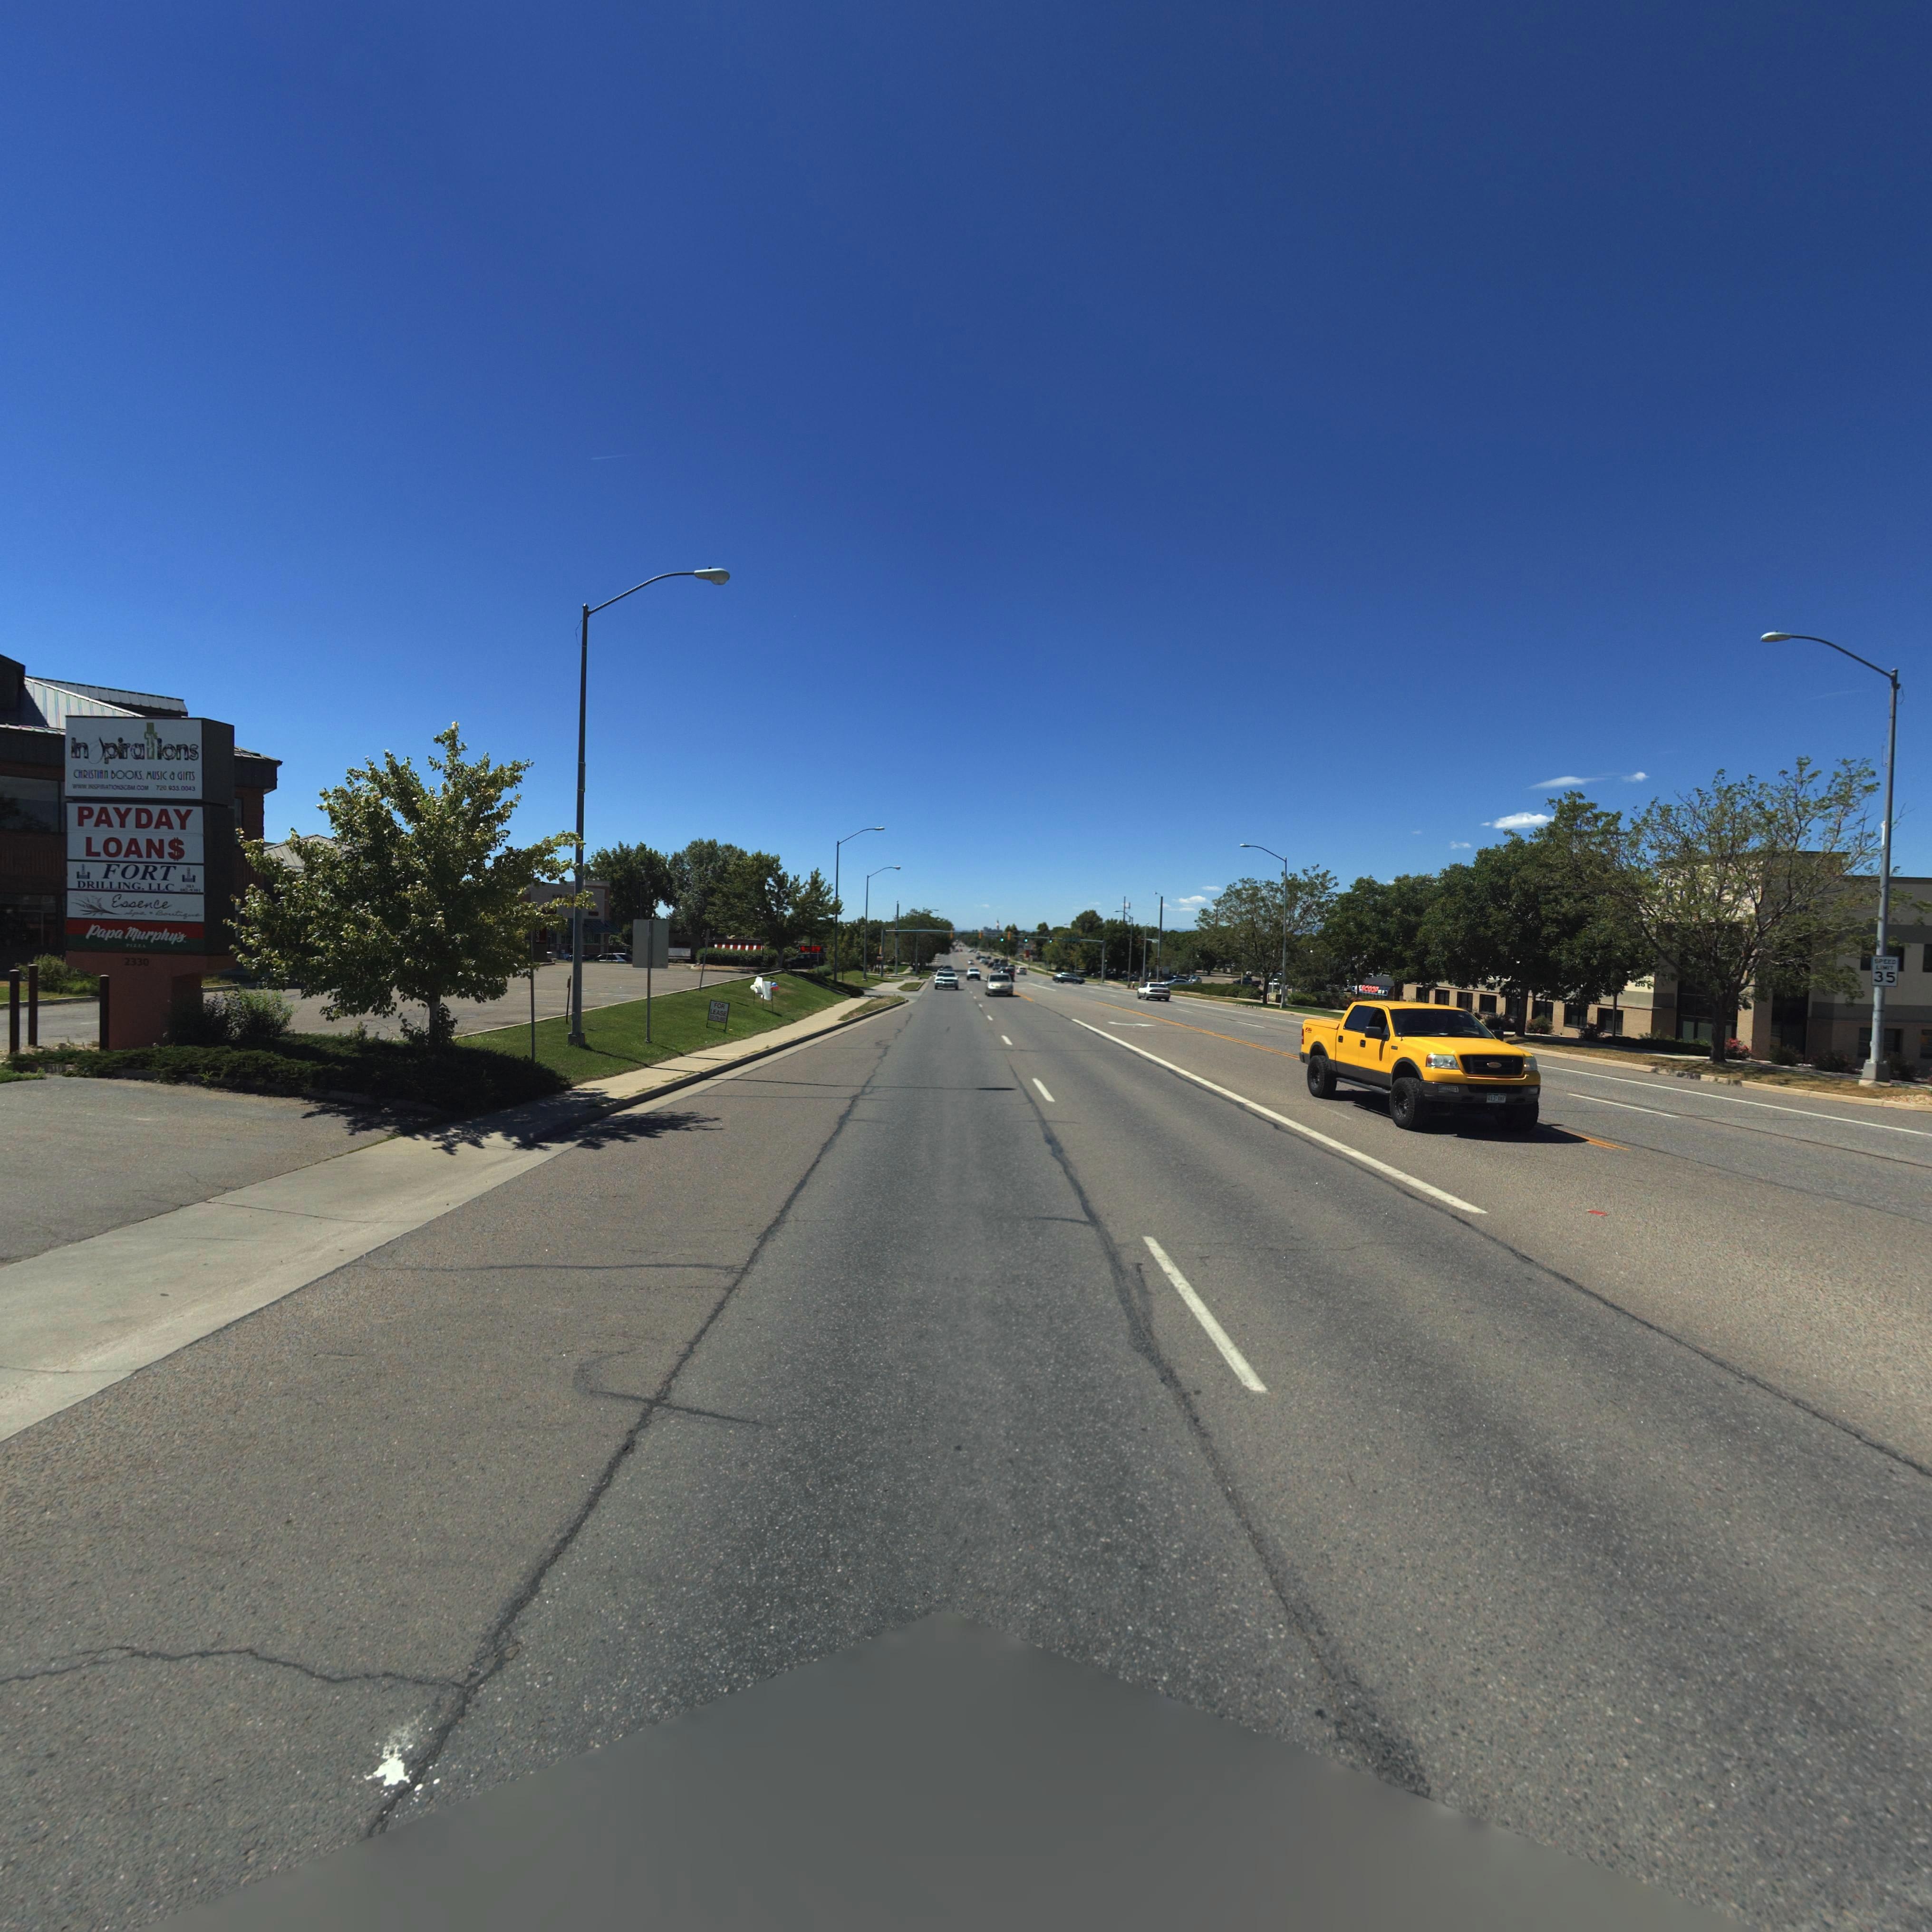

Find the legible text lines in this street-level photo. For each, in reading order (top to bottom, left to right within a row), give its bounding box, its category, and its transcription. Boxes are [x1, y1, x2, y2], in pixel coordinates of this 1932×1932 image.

[69, 722, 200, 765] BusinessName: in*pirations
[77, 805, 194, 831] BusinessName: PAYDAY
[84, 835, 185, 862] BusinessName: LOAN$
[102, 862, 177, 881] BusinessName: FORT
[76, 879, 175, 892] BusinessName: DRILLING, LLC
[111, 892, 172, 910] BusinessName: Essence
[85, 923, 188, 945] BusinessName: Papa Murphy's
[123, 956, 149, 966] StreetNumber: 2330
[1634, 981, 1645, 986] StreetNumber: *515